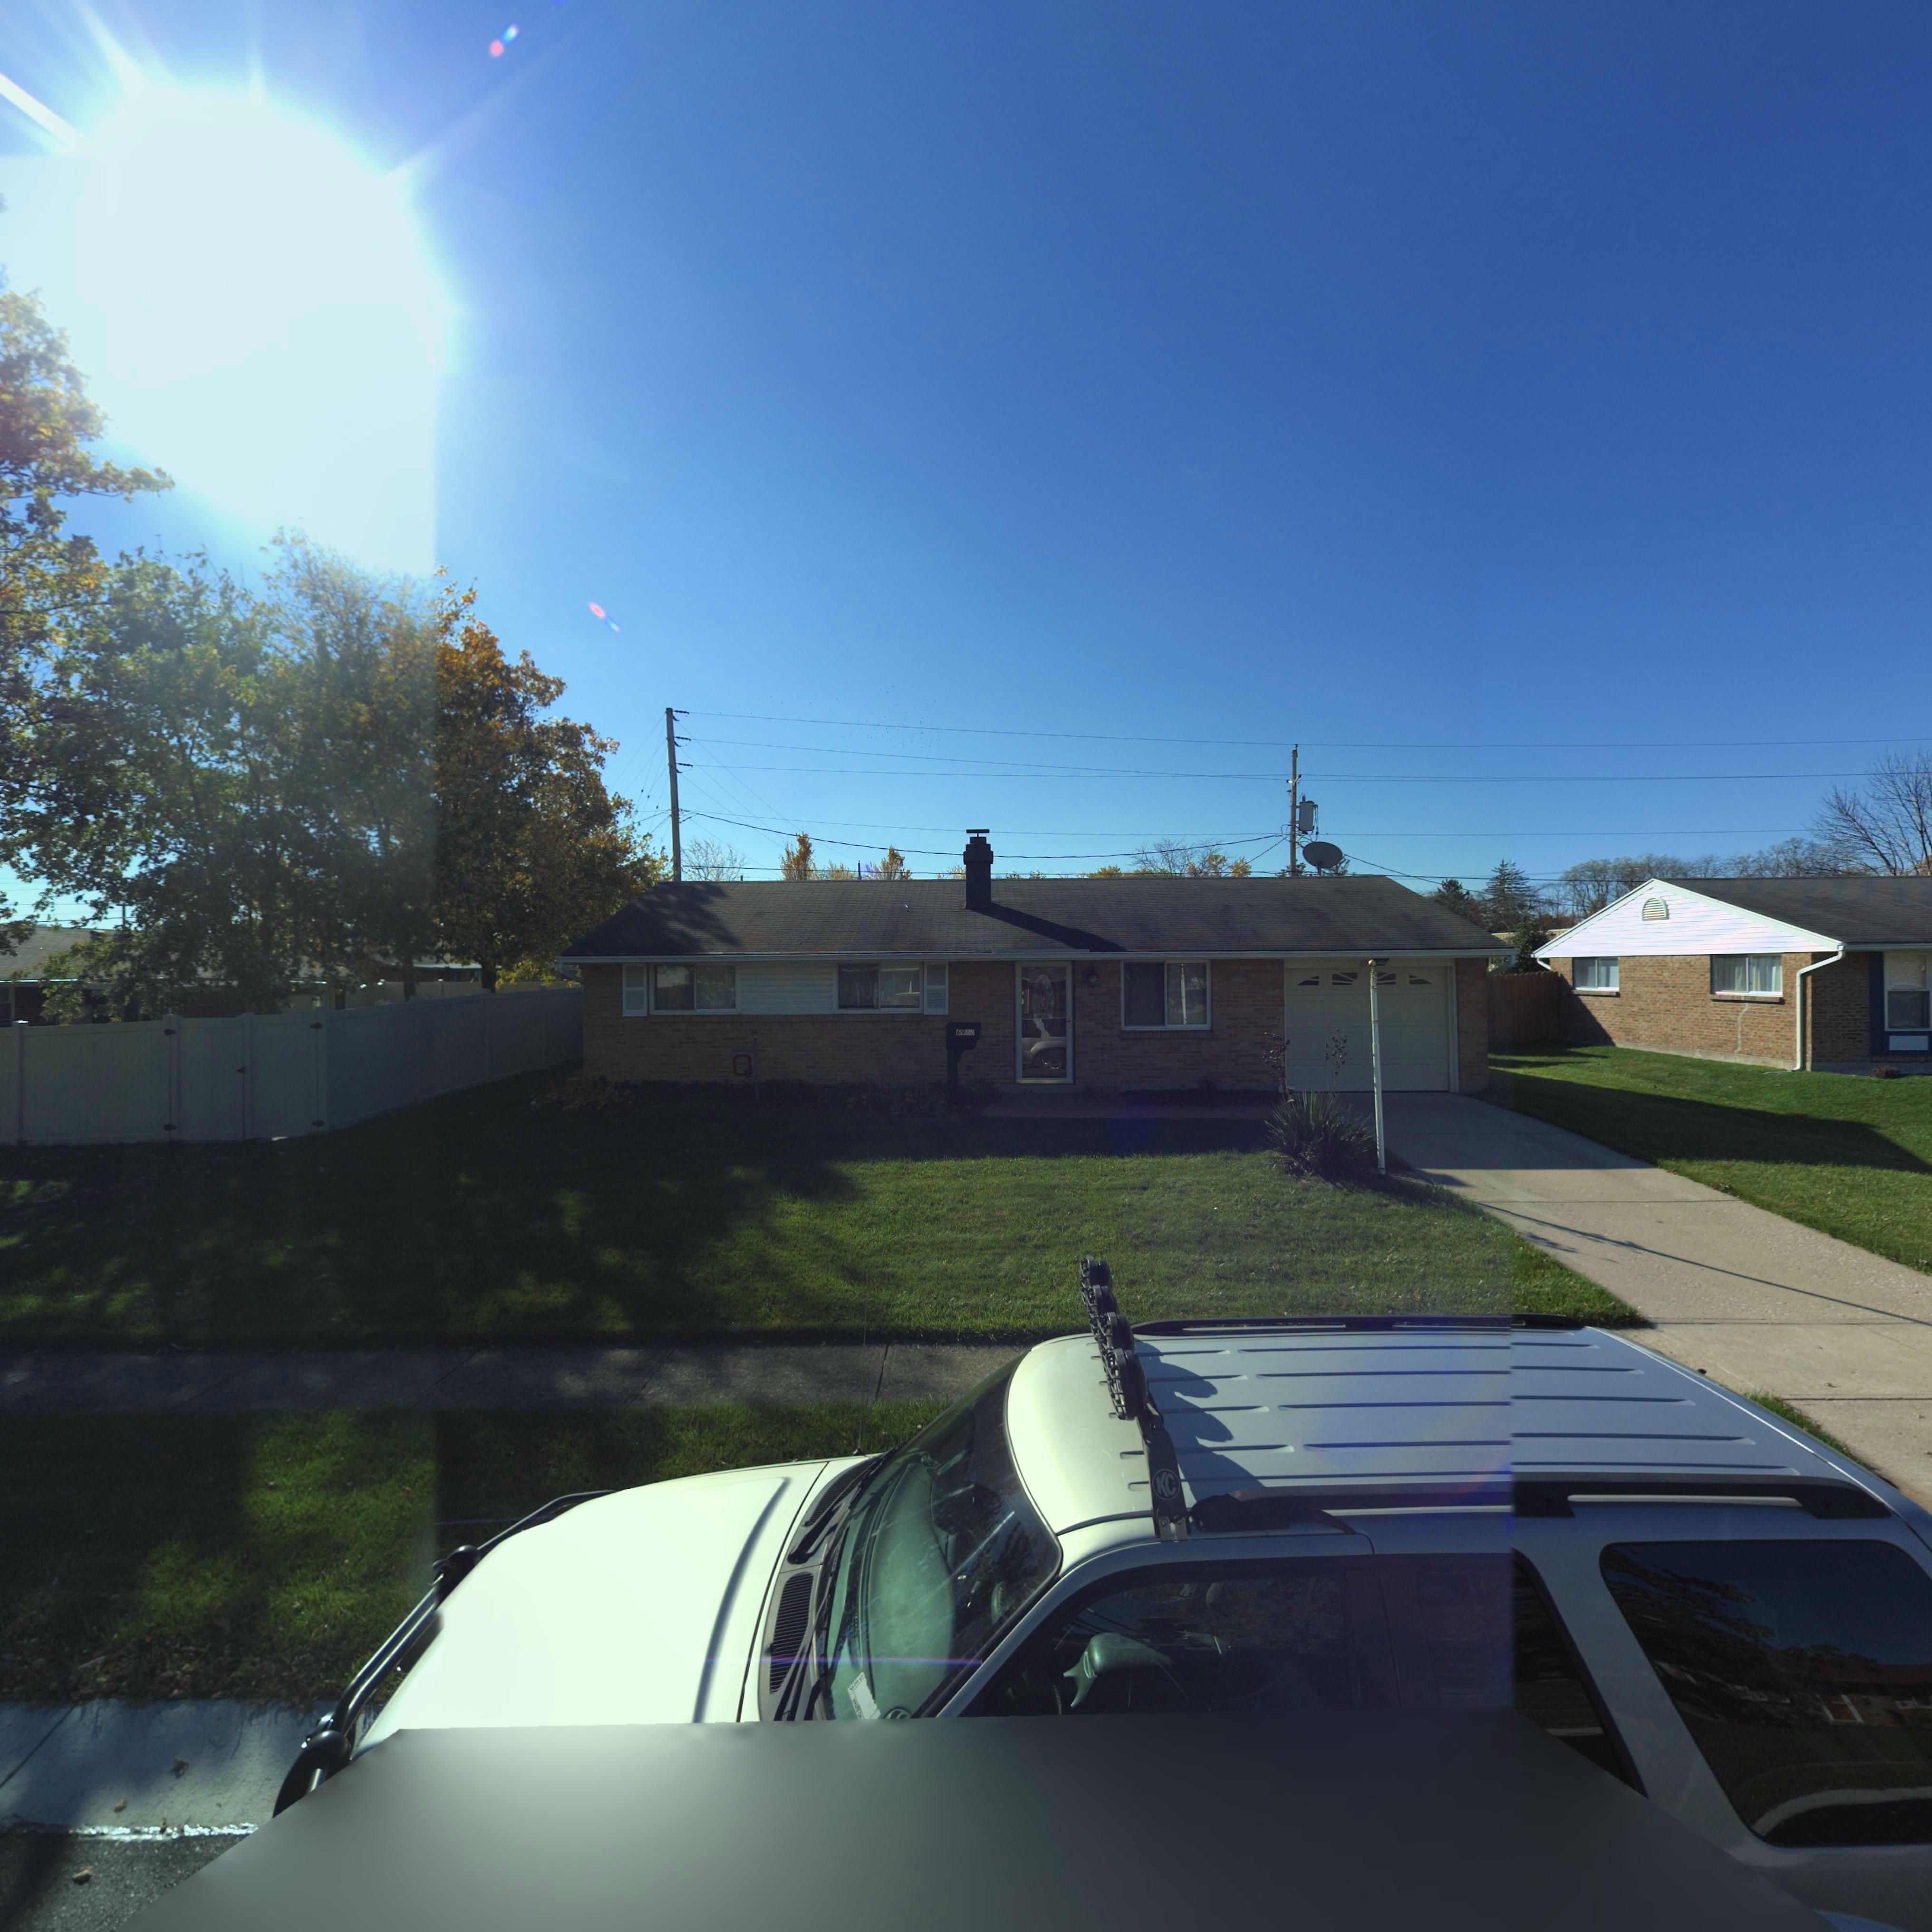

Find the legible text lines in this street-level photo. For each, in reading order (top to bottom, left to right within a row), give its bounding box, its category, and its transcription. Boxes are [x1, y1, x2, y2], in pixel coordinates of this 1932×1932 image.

[1359, 960, 1369, 968] StreetNumber: 69
[956, 1029, 975, 1035] StreetNumber: 6980